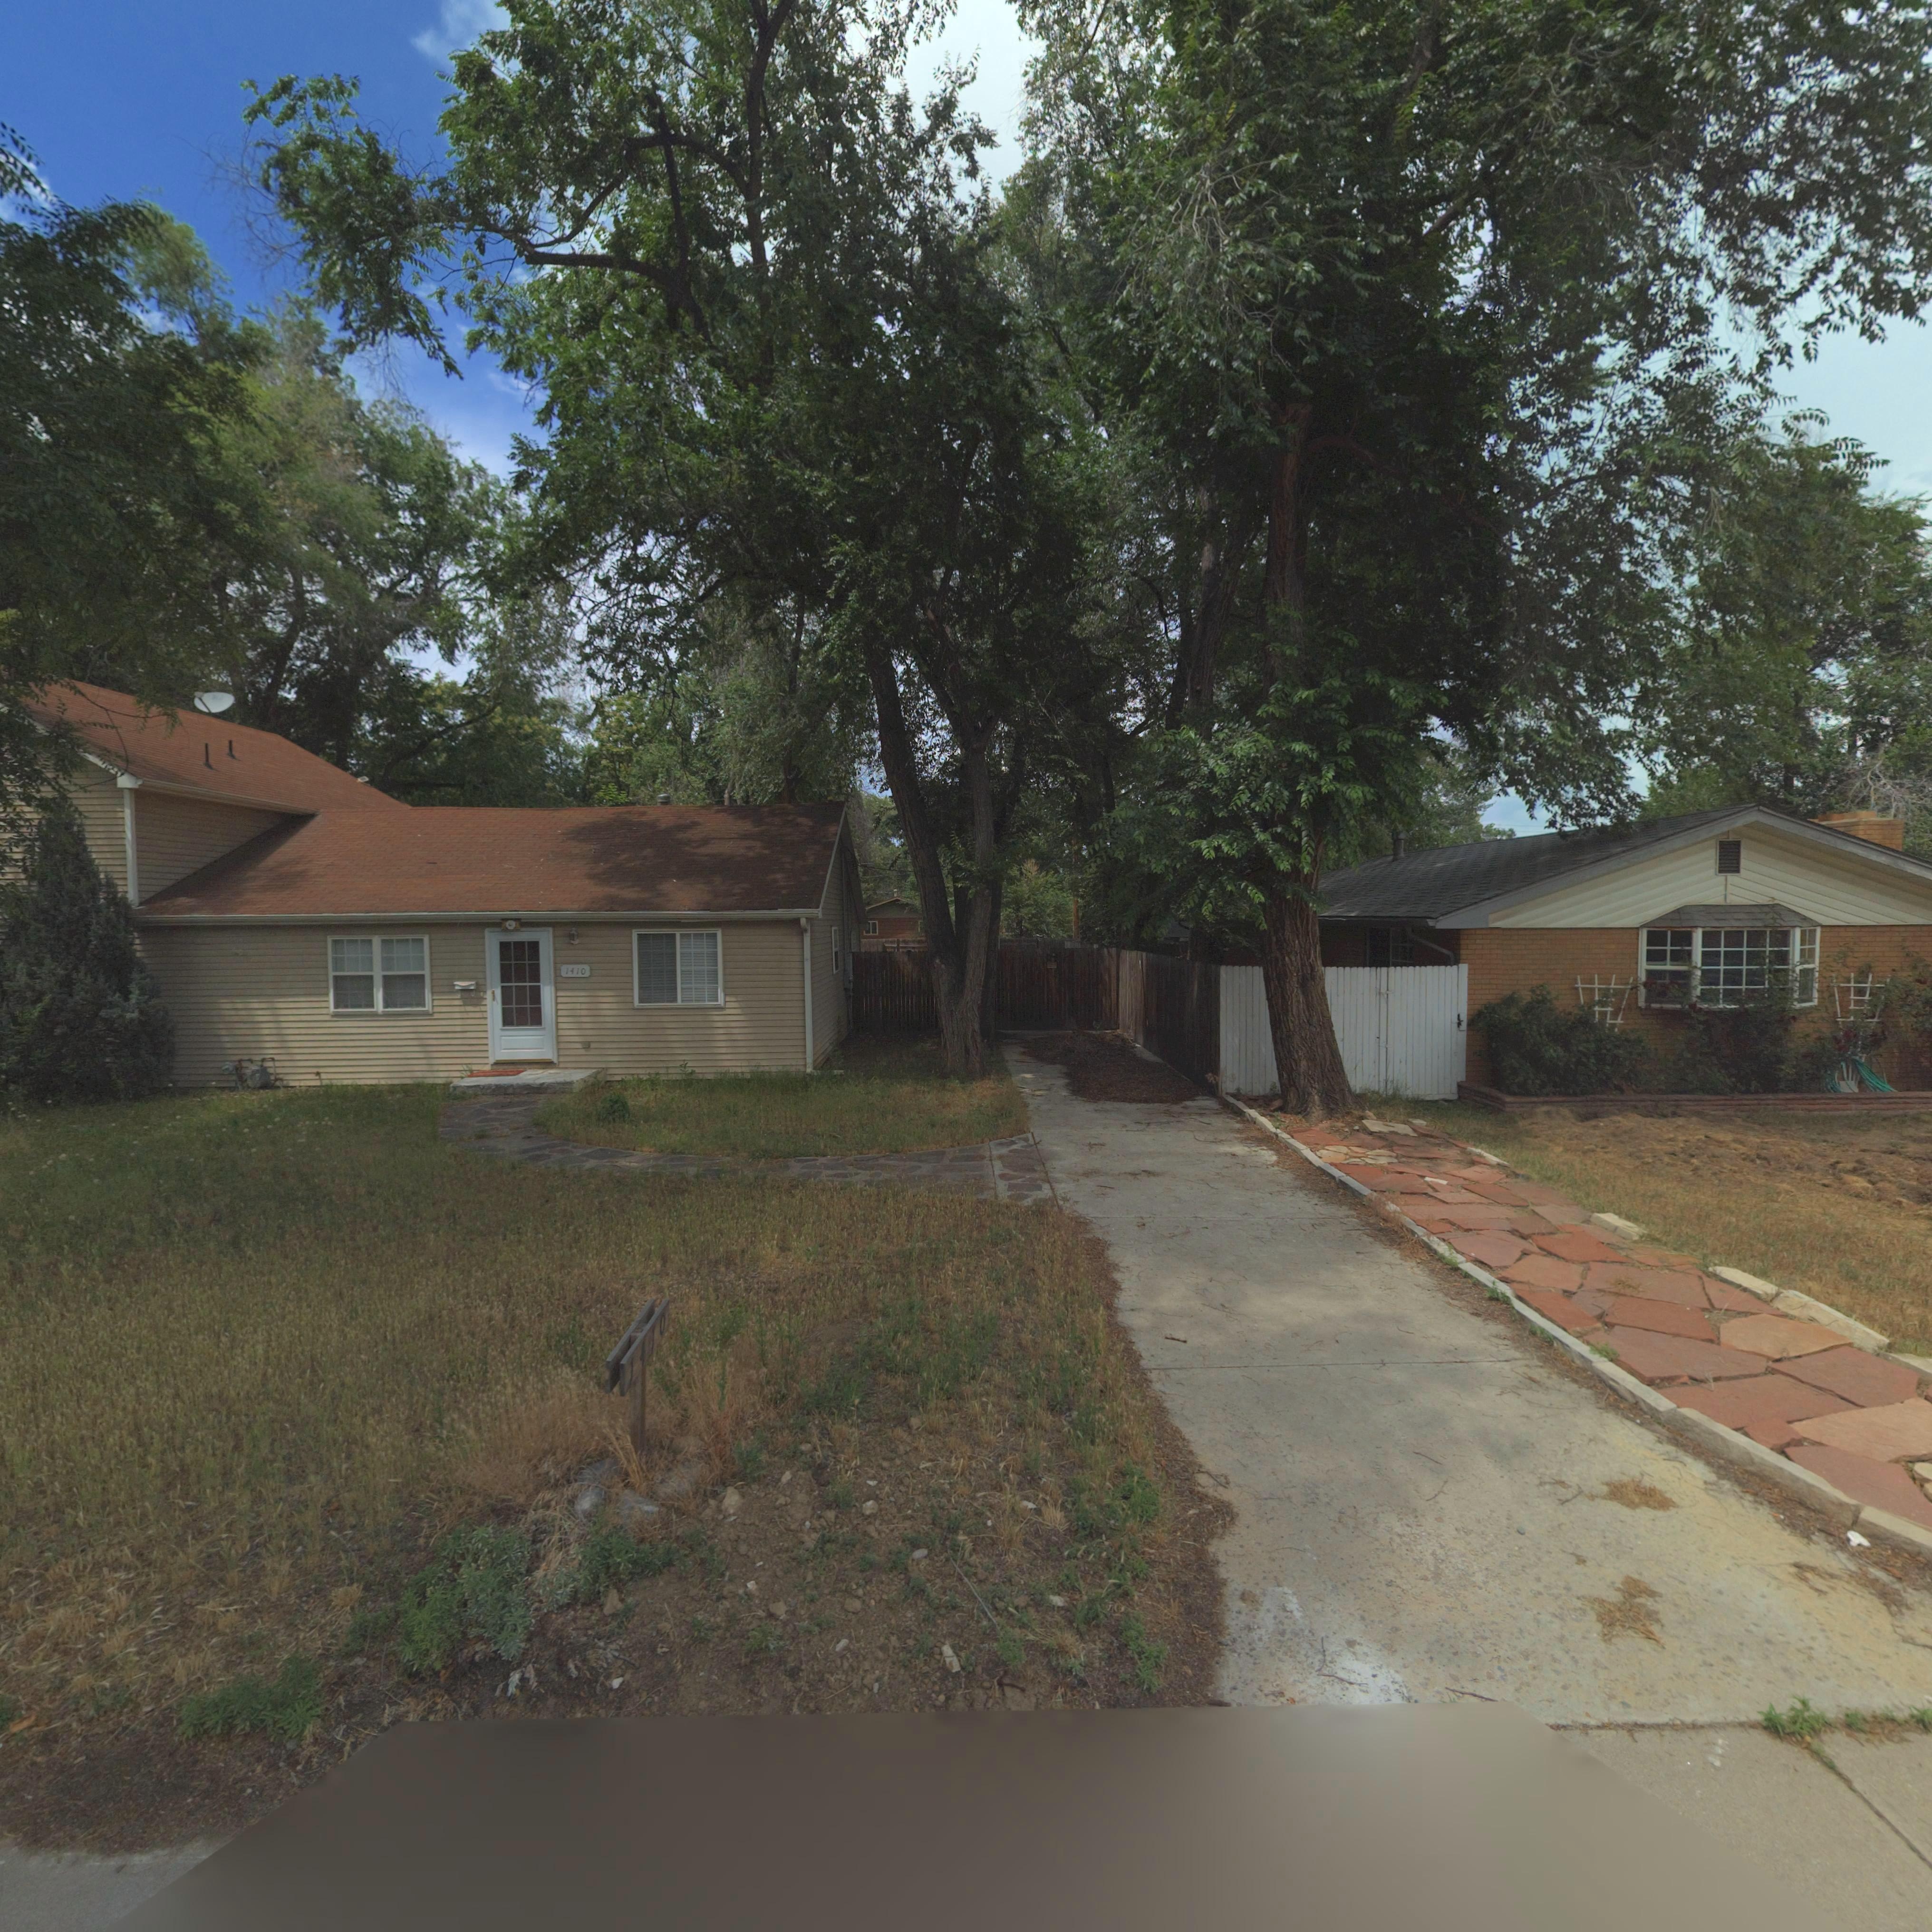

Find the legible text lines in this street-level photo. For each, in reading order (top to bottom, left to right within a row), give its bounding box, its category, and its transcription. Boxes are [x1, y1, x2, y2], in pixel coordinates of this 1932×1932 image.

[566, 967, 586, 975] StreetNumber: 1410
[627, 1307, 669, 1392] StreetNumber: 1410